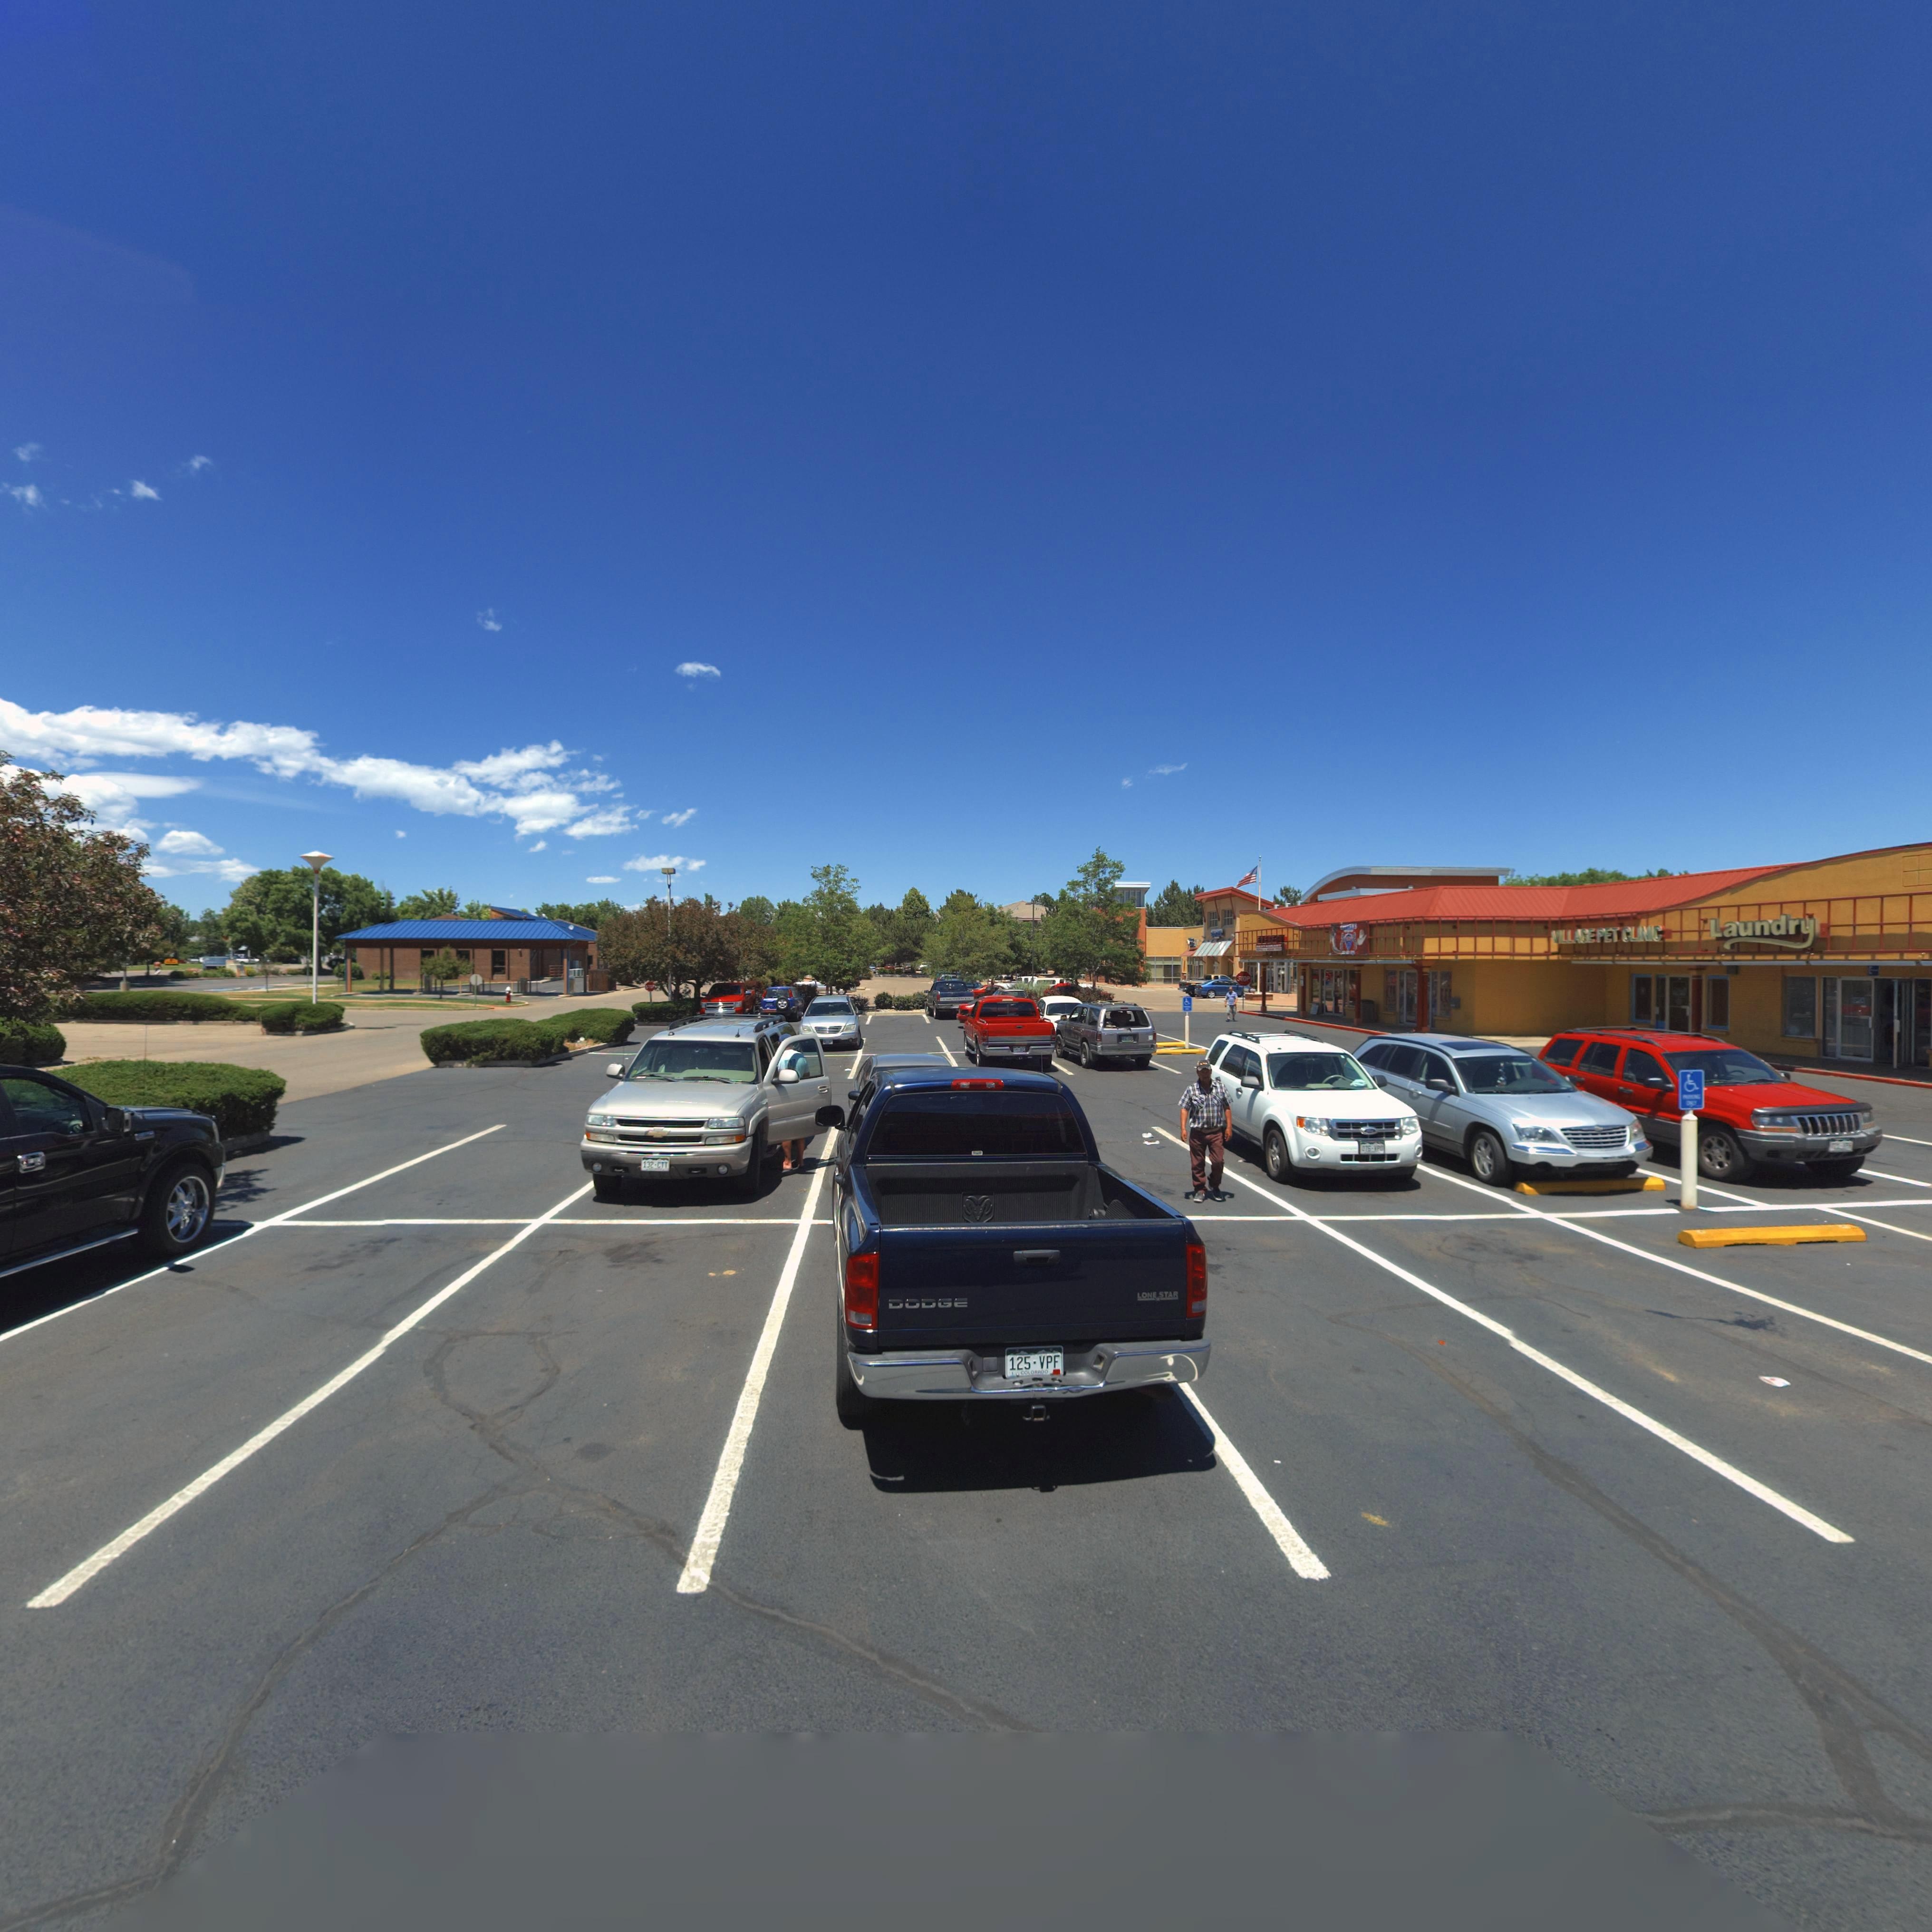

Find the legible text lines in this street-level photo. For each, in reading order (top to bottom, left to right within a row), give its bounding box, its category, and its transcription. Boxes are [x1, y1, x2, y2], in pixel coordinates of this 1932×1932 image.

[1256, 934, 1284, 943] BusinessName: E*E*****
[1550, 925, 1664, 943] BusinessName: VILLAGE PET CLINIC